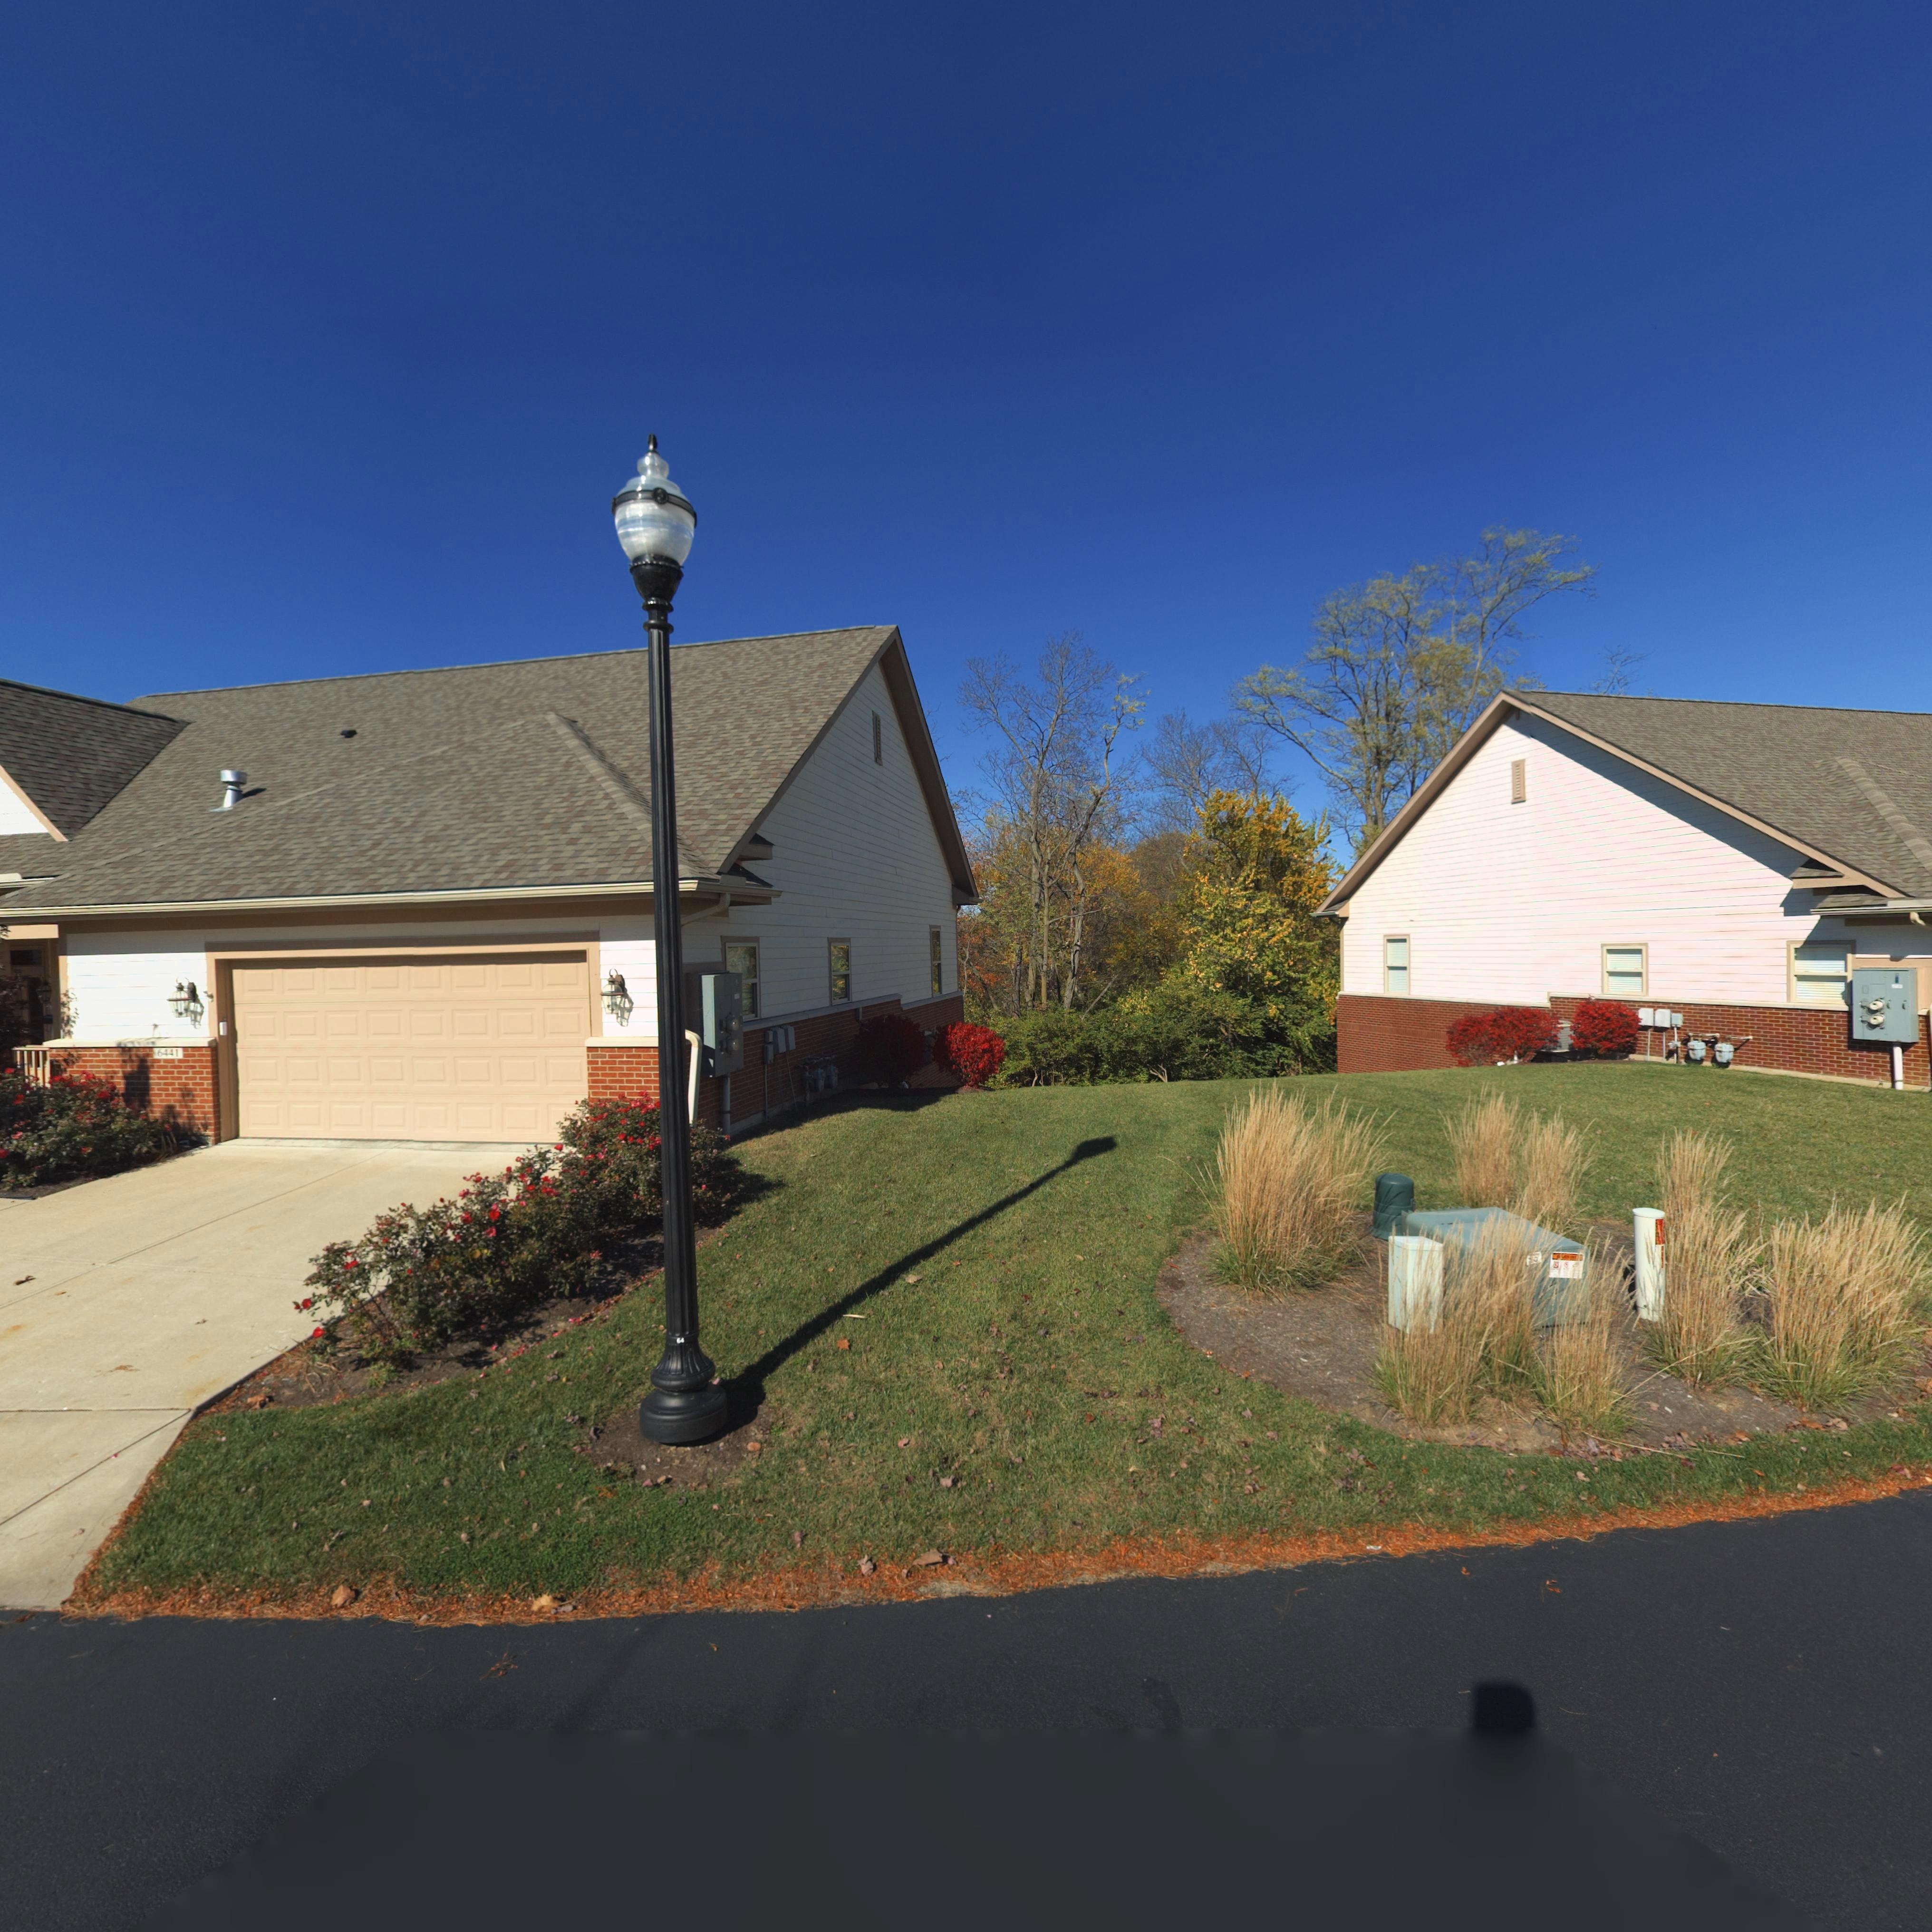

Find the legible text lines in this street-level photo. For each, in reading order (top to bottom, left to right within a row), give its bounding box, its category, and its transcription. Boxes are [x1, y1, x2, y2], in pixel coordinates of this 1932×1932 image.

[156, 1048, 179, 1058] StreetNumber: 6441